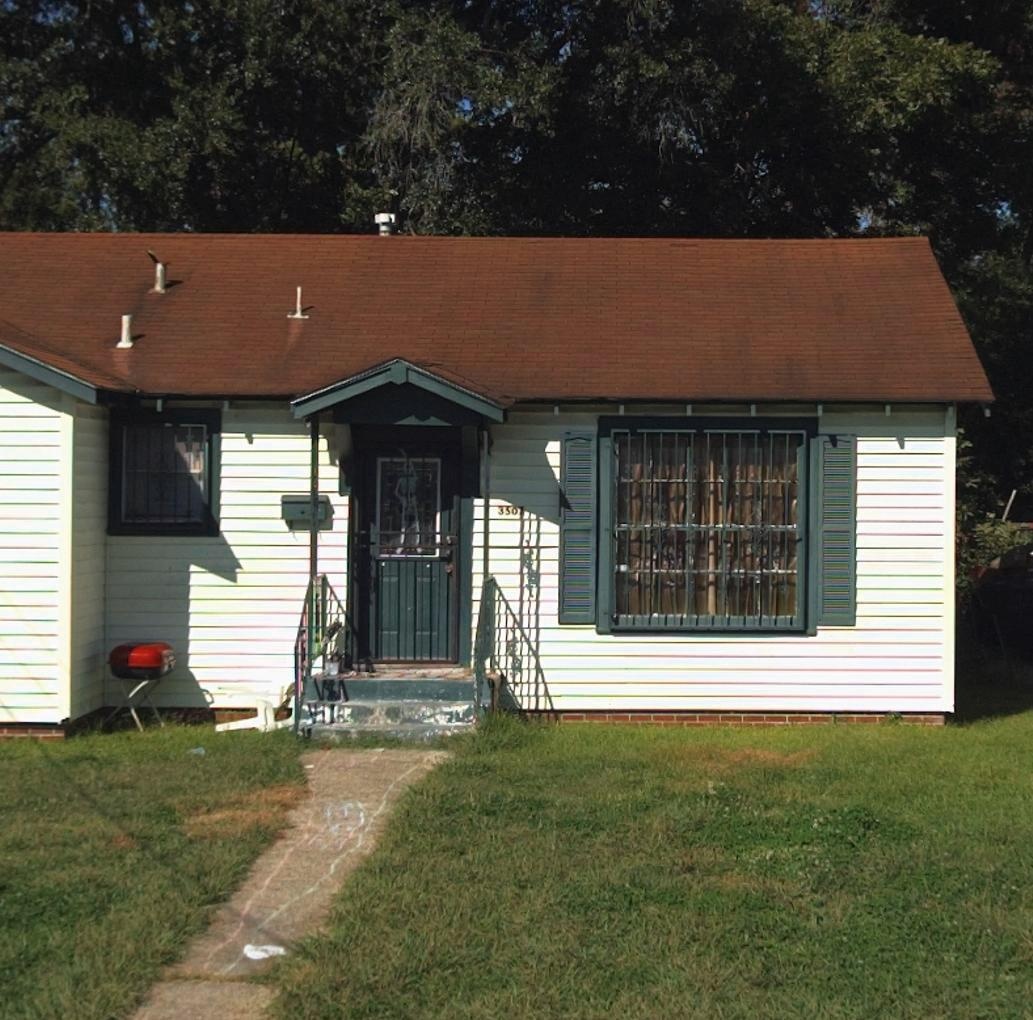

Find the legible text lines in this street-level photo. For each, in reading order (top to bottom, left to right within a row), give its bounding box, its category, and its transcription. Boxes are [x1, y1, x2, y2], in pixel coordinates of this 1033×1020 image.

[497, 504, 525, 516] StreetNumber: 3507